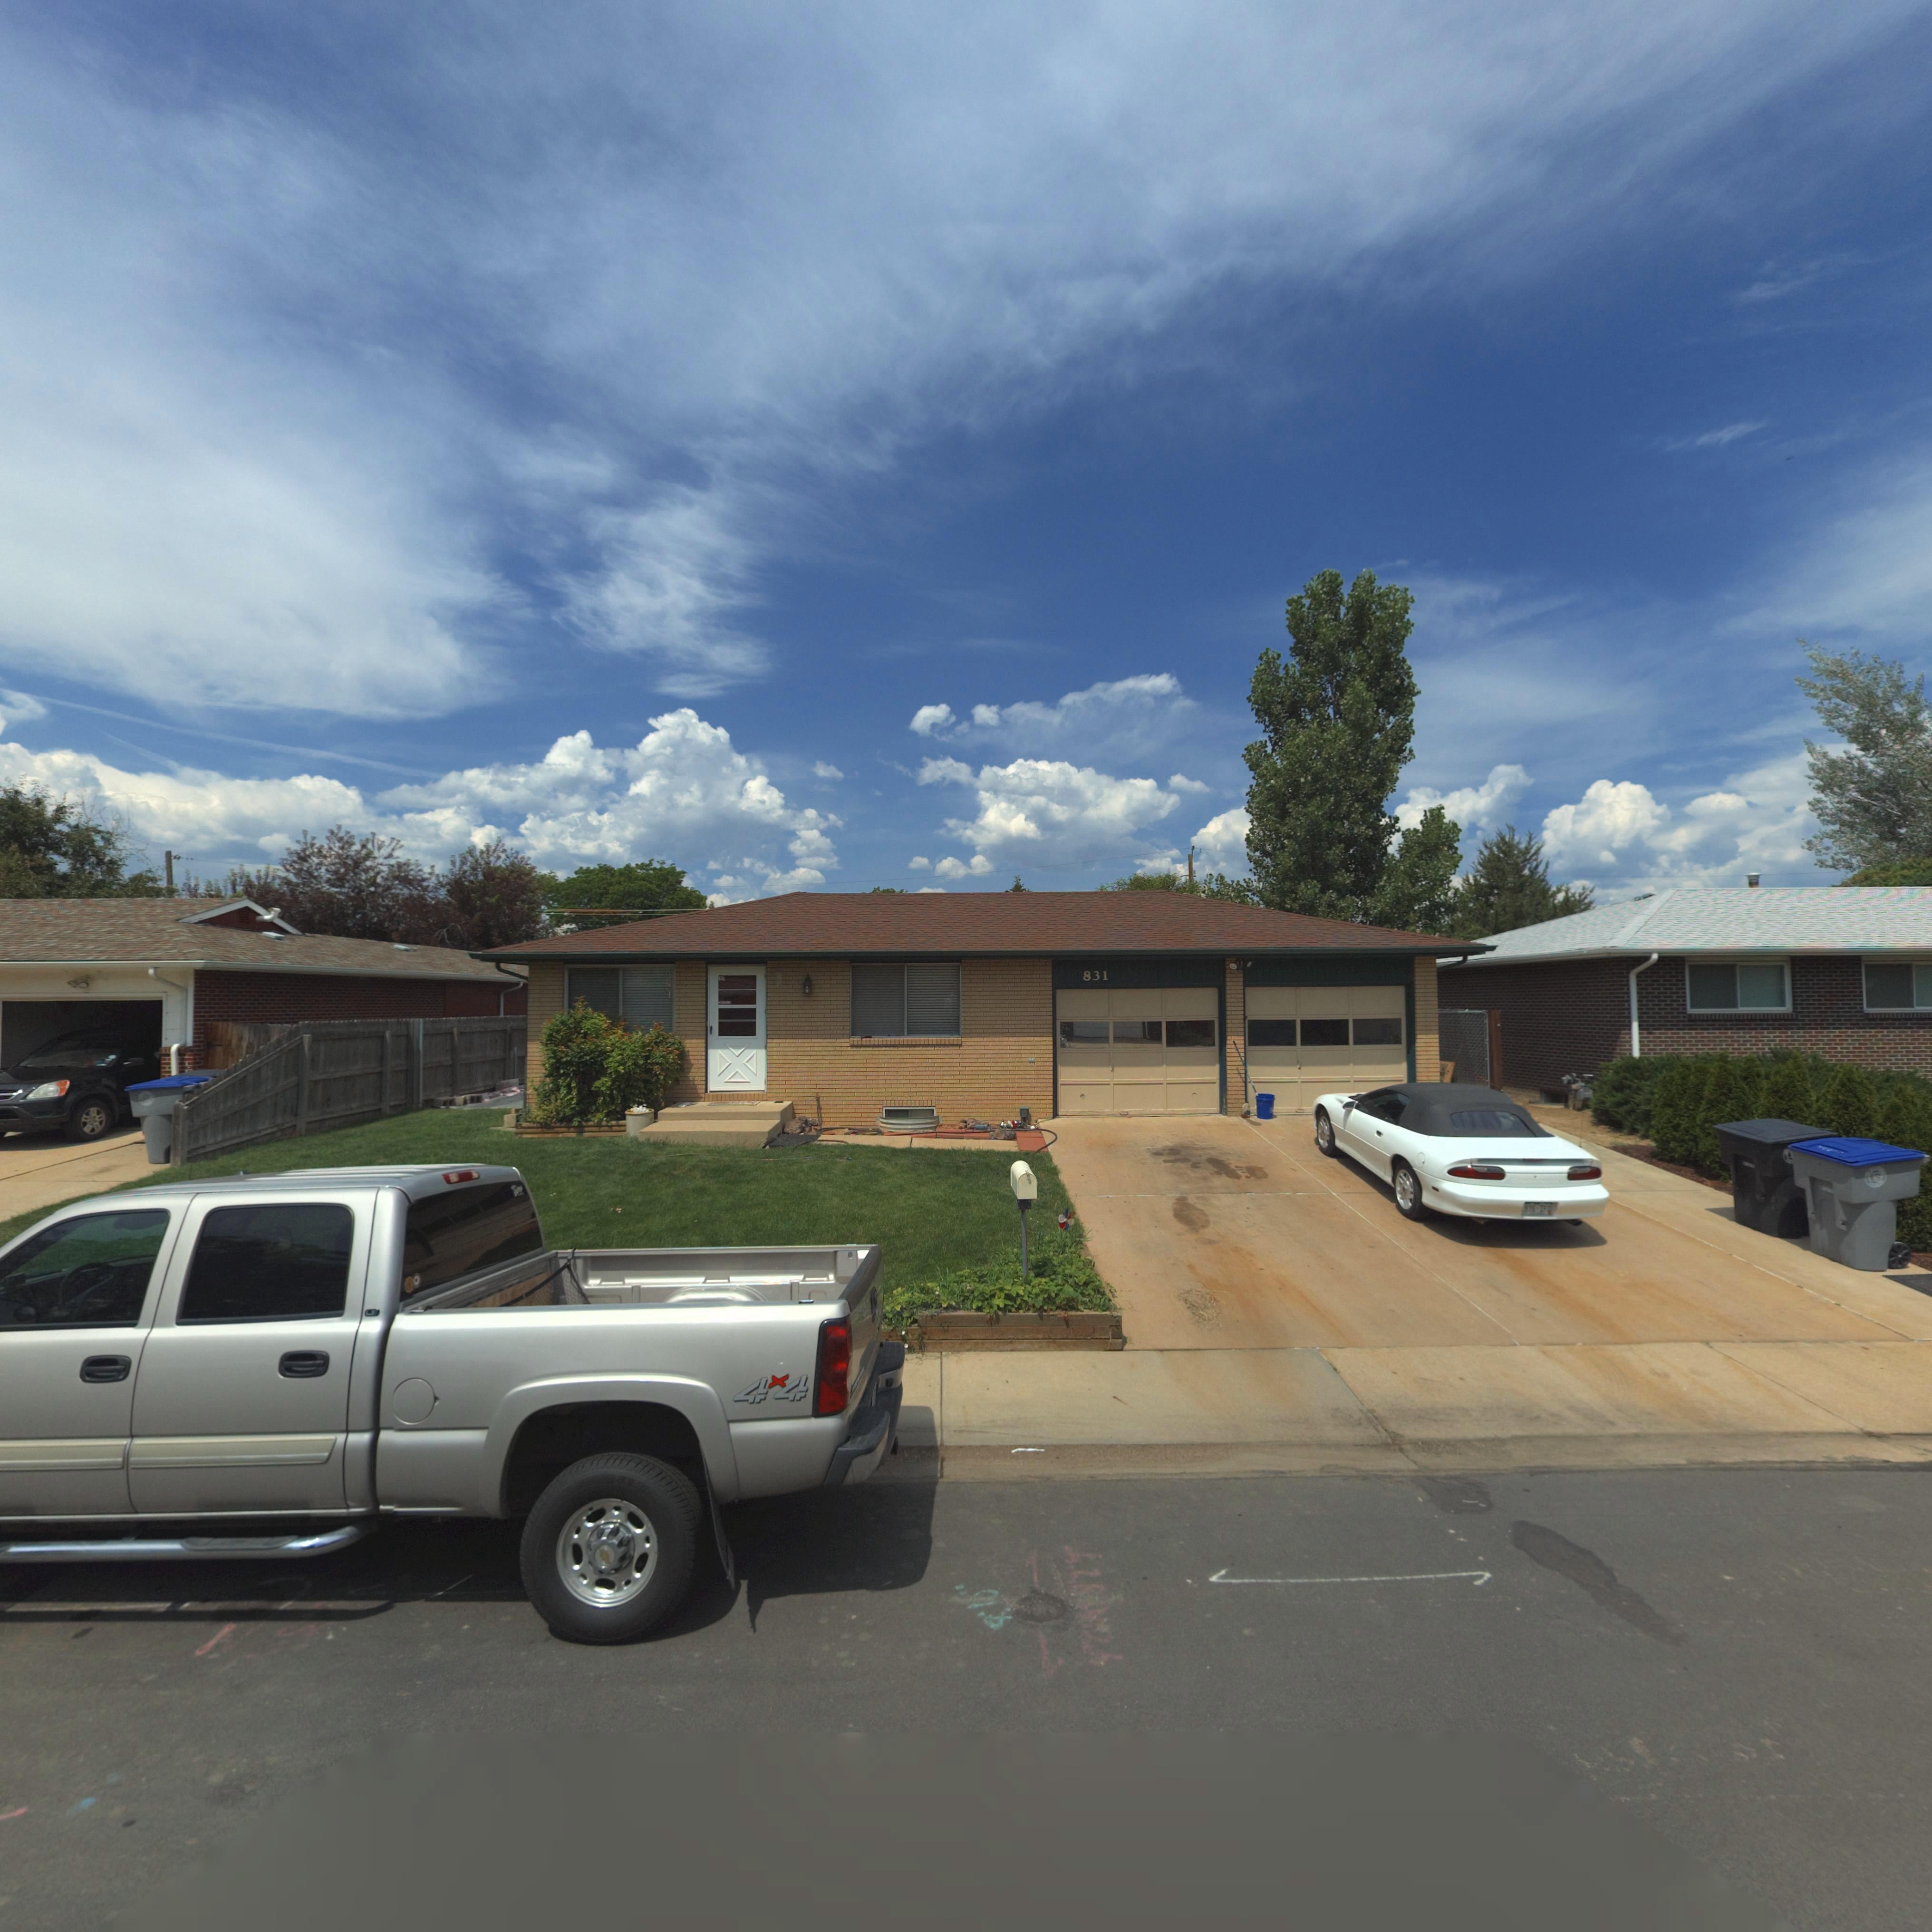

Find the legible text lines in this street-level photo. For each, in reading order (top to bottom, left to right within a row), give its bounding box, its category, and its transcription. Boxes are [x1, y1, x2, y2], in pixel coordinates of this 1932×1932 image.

[1082, 970, 1109, 981] StreetNumber: 831